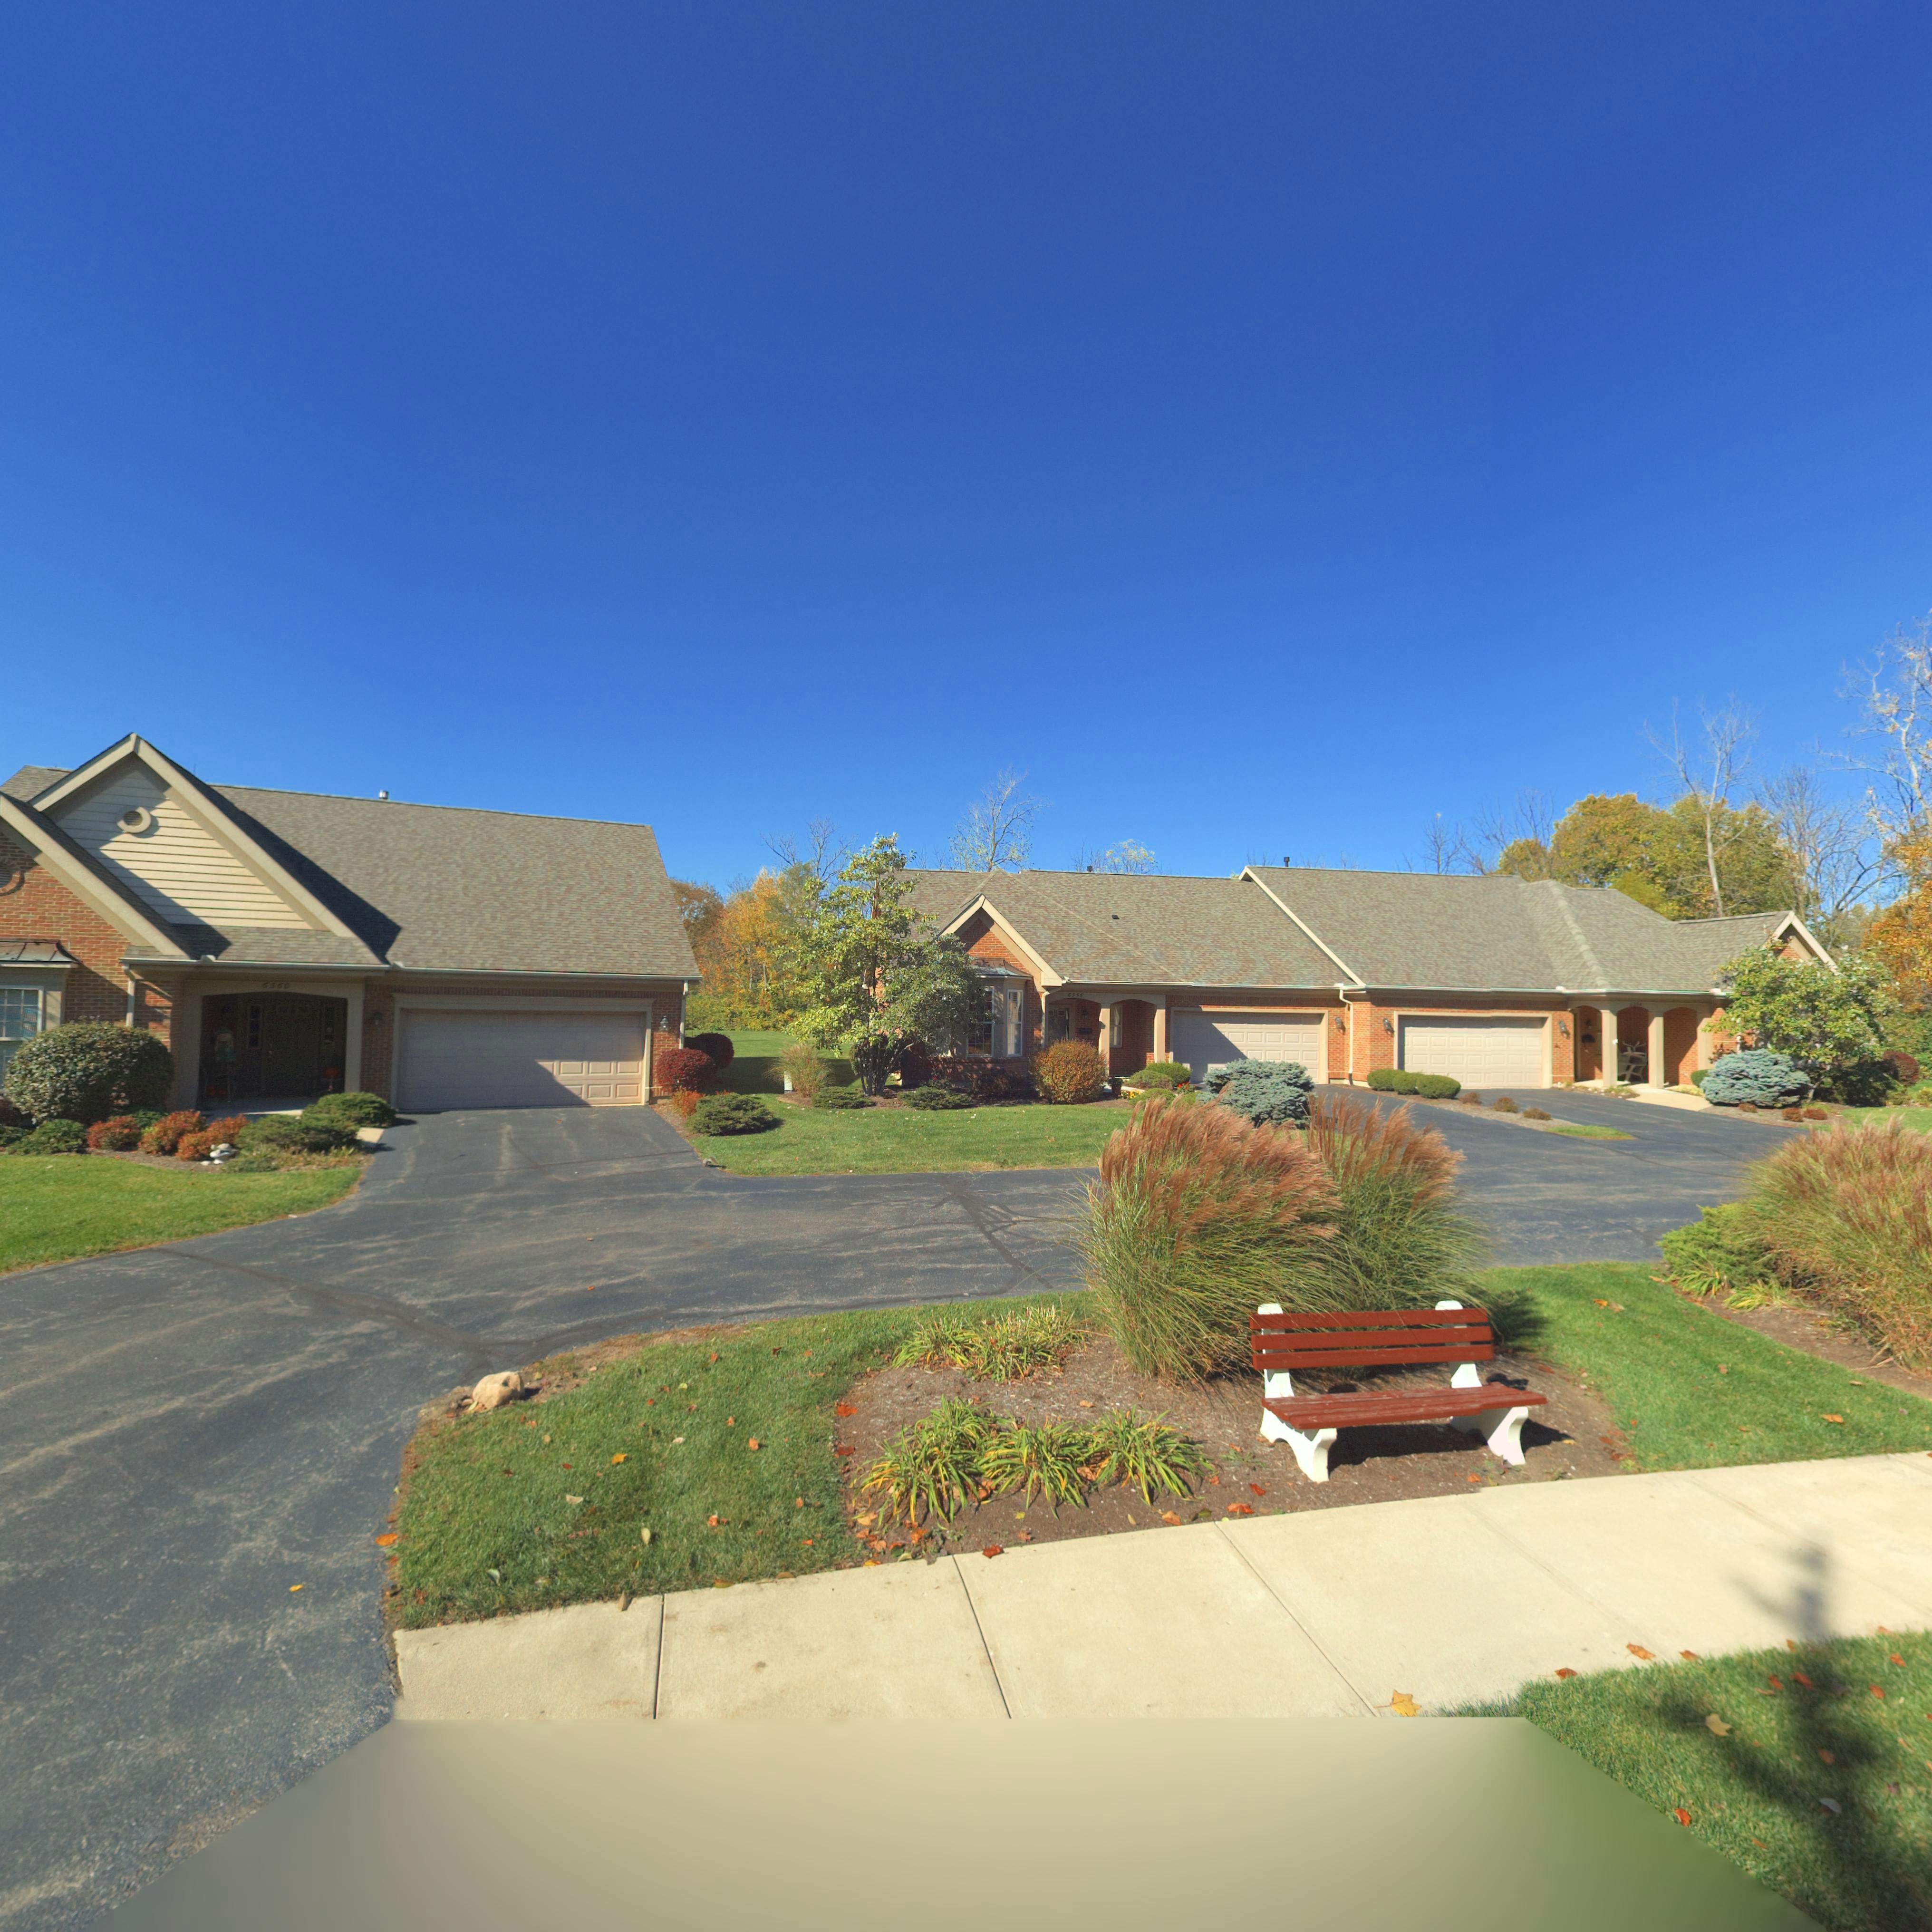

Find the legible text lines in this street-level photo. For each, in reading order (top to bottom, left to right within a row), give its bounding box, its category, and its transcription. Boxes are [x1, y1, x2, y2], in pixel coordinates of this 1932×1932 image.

[262, 981, 290, 990] StreetNumber: 6*6*
[1067, 992, 1084, 998] StreetNumber: 6**6